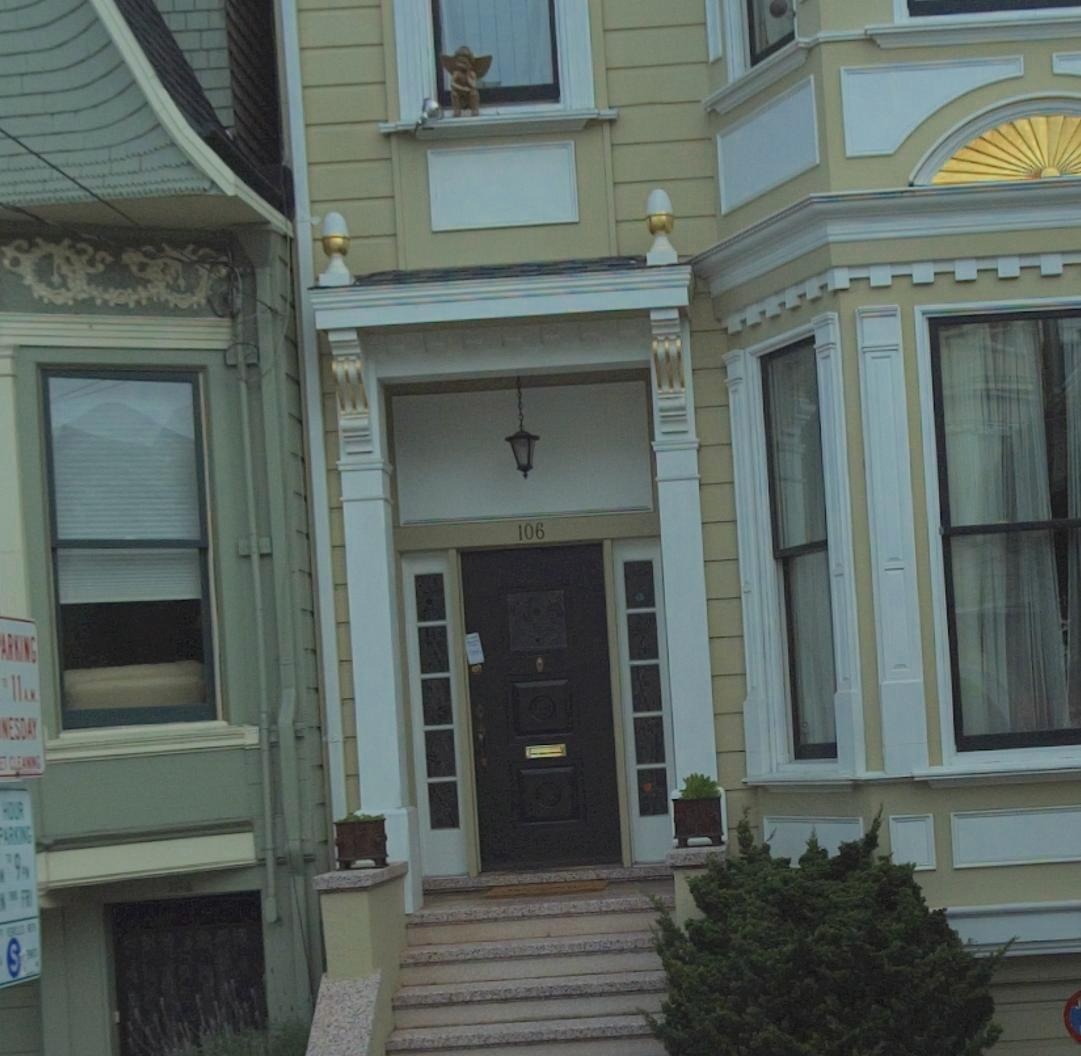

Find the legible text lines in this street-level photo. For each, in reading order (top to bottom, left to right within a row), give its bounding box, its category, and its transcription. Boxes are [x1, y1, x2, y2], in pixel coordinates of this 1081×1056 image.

[516, 520, 547, 543] StreetNumber: 106
[0, 628, 39, 667] None: ARKING
[8, 670, 41, 705] None: 11AM
[0, 713, 41, 743] None: NESDAY
[0, 798, 27, 823] None: HOUR
[11, 849, 23, 885] None: 9
[6, 939, 22, 976] None: S